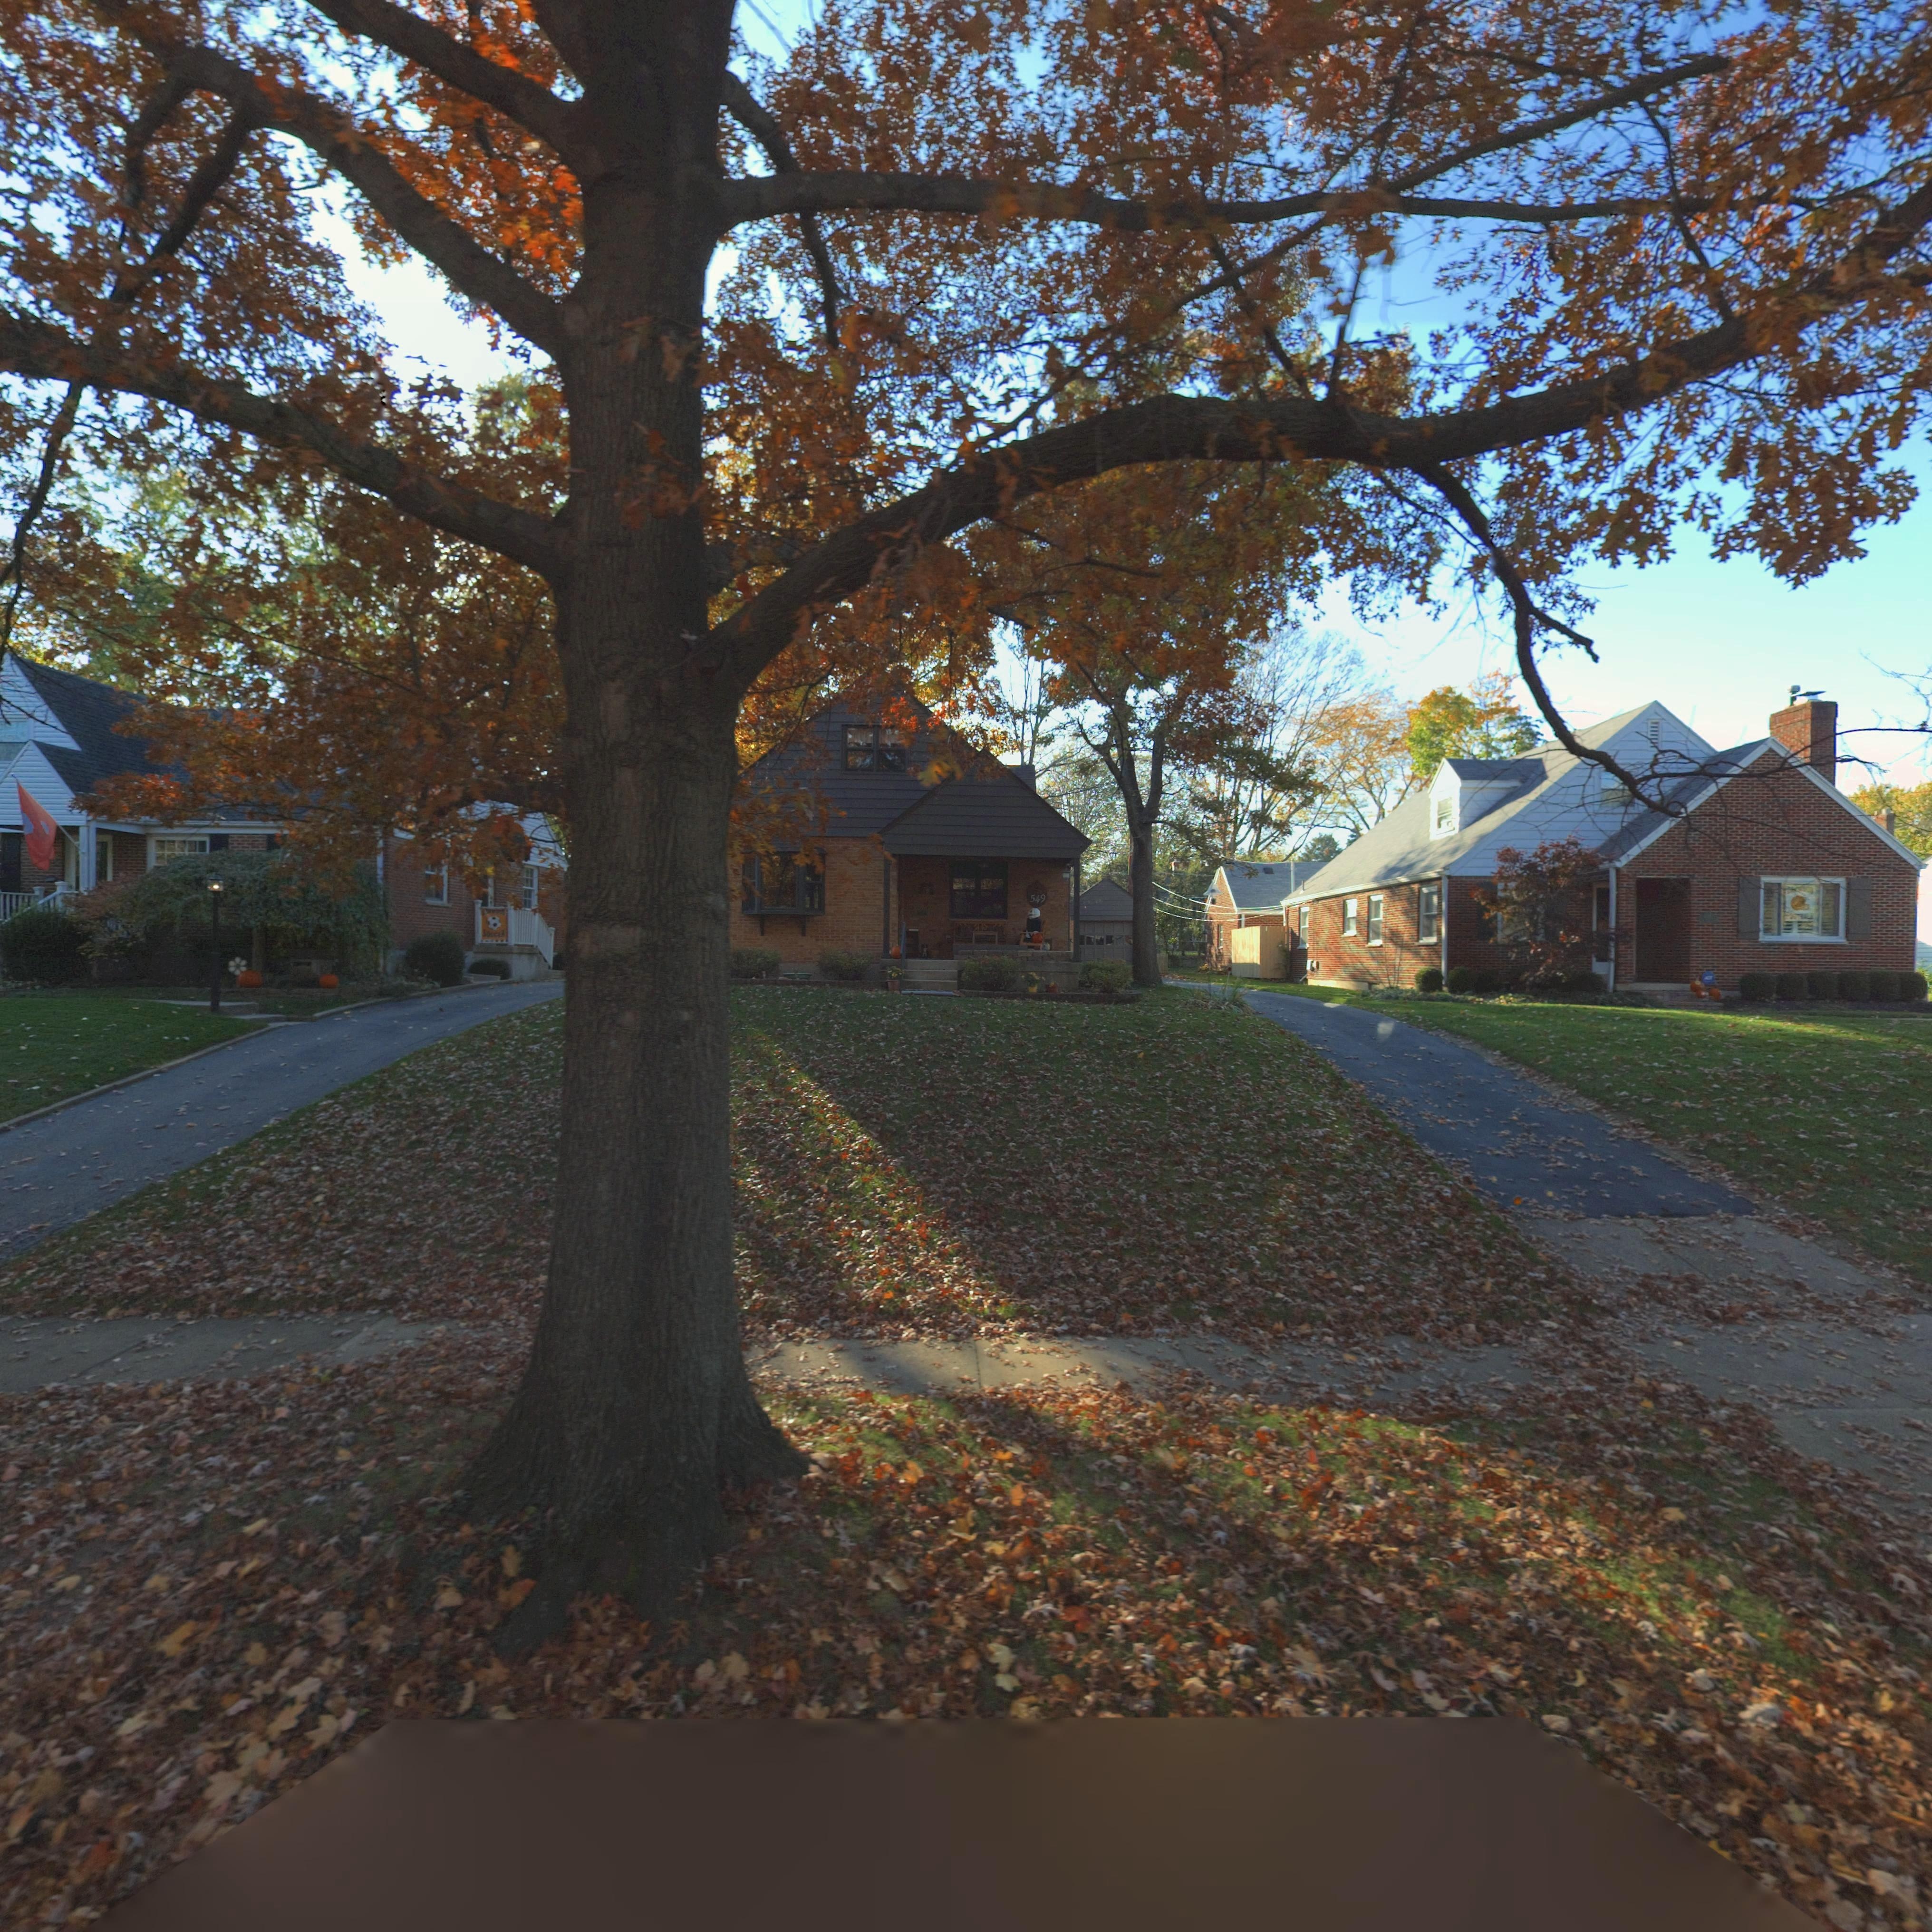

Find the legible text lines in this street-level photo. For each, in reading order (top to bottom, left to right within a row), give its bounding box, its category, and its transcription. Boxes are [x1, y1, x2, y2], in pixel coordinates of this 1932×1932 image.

[1029, 894, 1046, 903] StreetNumber: 549